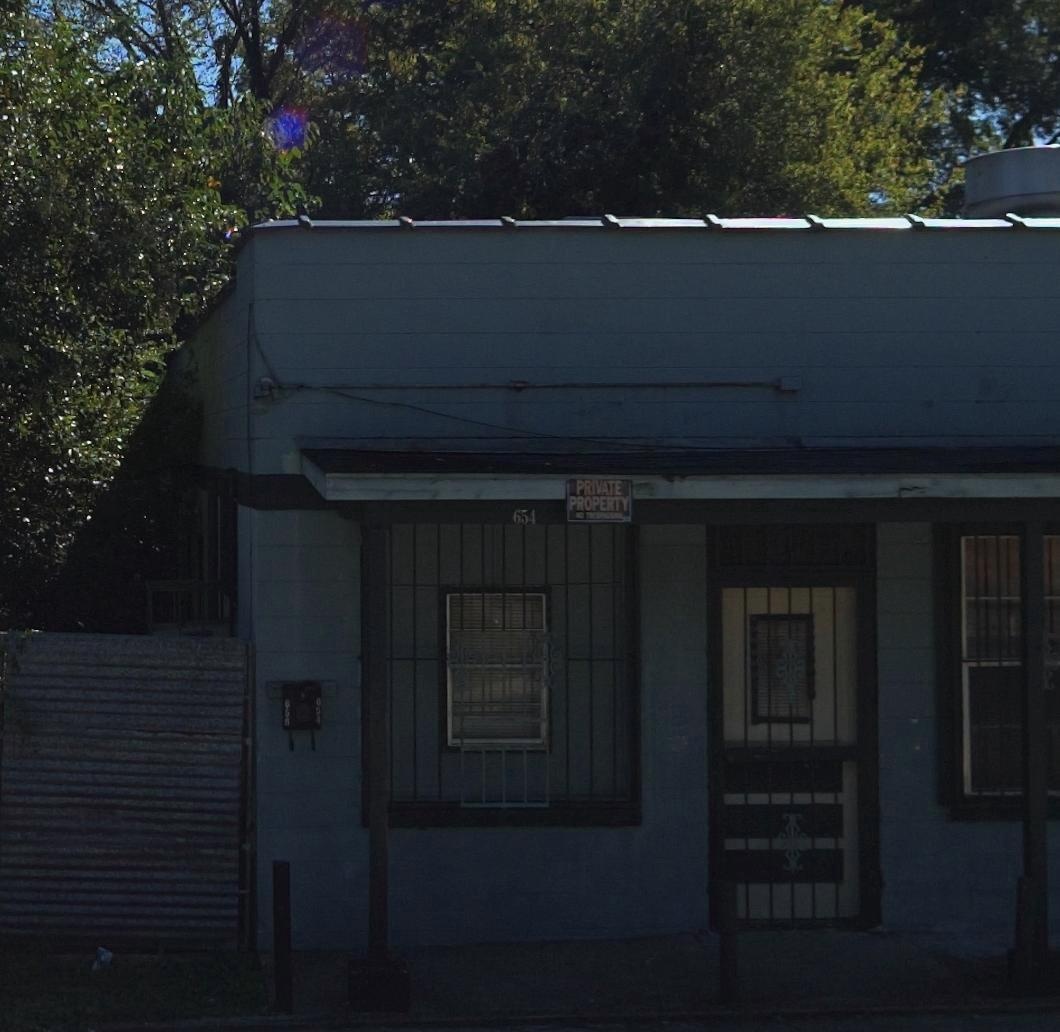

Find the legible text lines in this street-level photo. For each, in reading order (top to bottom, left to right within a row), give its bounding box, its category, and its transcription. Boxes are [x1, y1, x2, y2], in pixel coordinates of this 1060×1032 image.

[575, 478, 624, 496] None: PRIVATE
[567, 494, 632, 513] None: PROPERTY
[511, 507, 538, 527] StreetNumber: 654